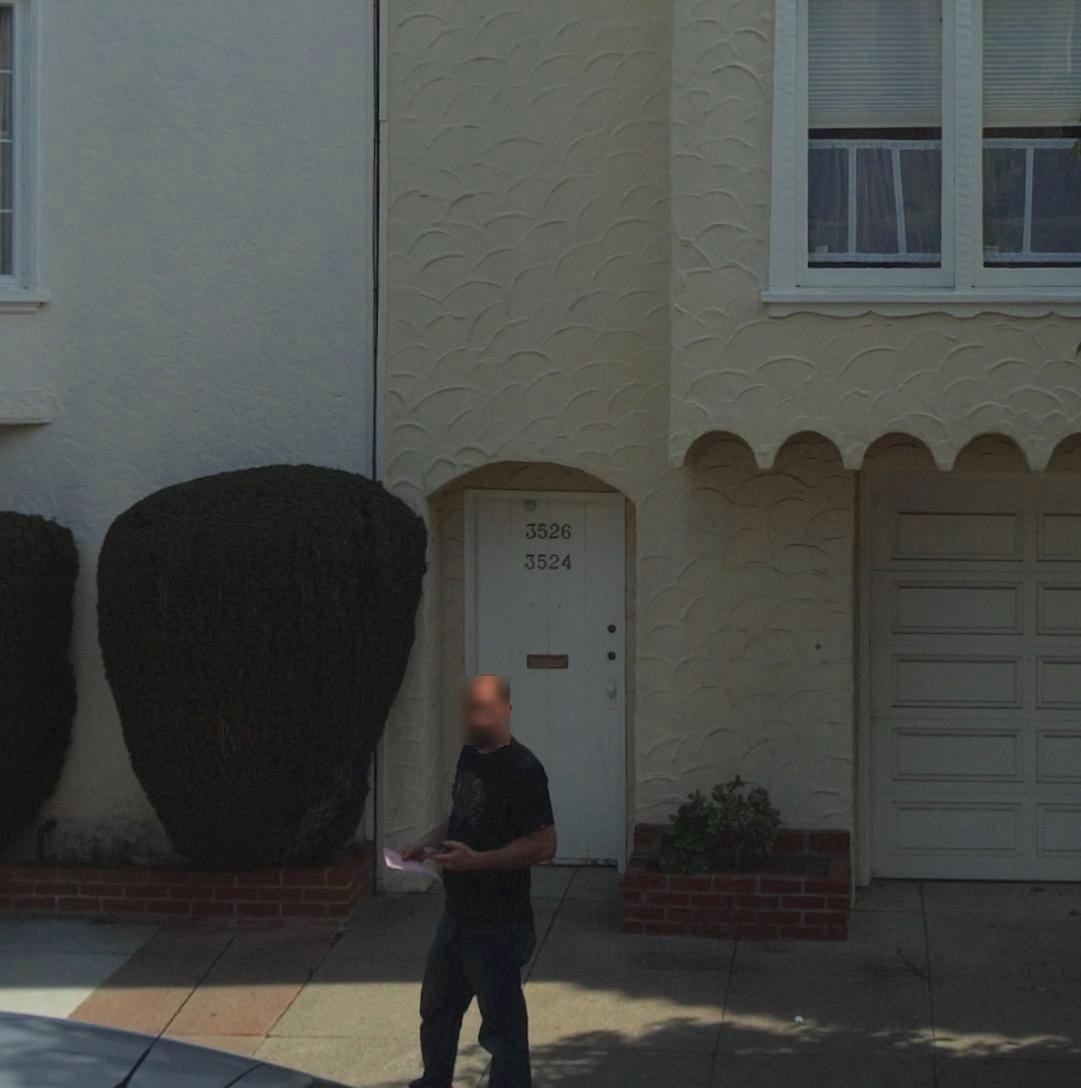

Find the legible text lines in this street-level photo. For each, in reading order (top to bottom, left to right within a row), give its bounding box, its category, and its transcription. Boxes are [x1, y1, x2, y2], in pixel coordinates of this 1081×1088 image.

[522, 520, 574, 542] StreetNumber: 3526
[520, 550, 574, 573] None: 3524